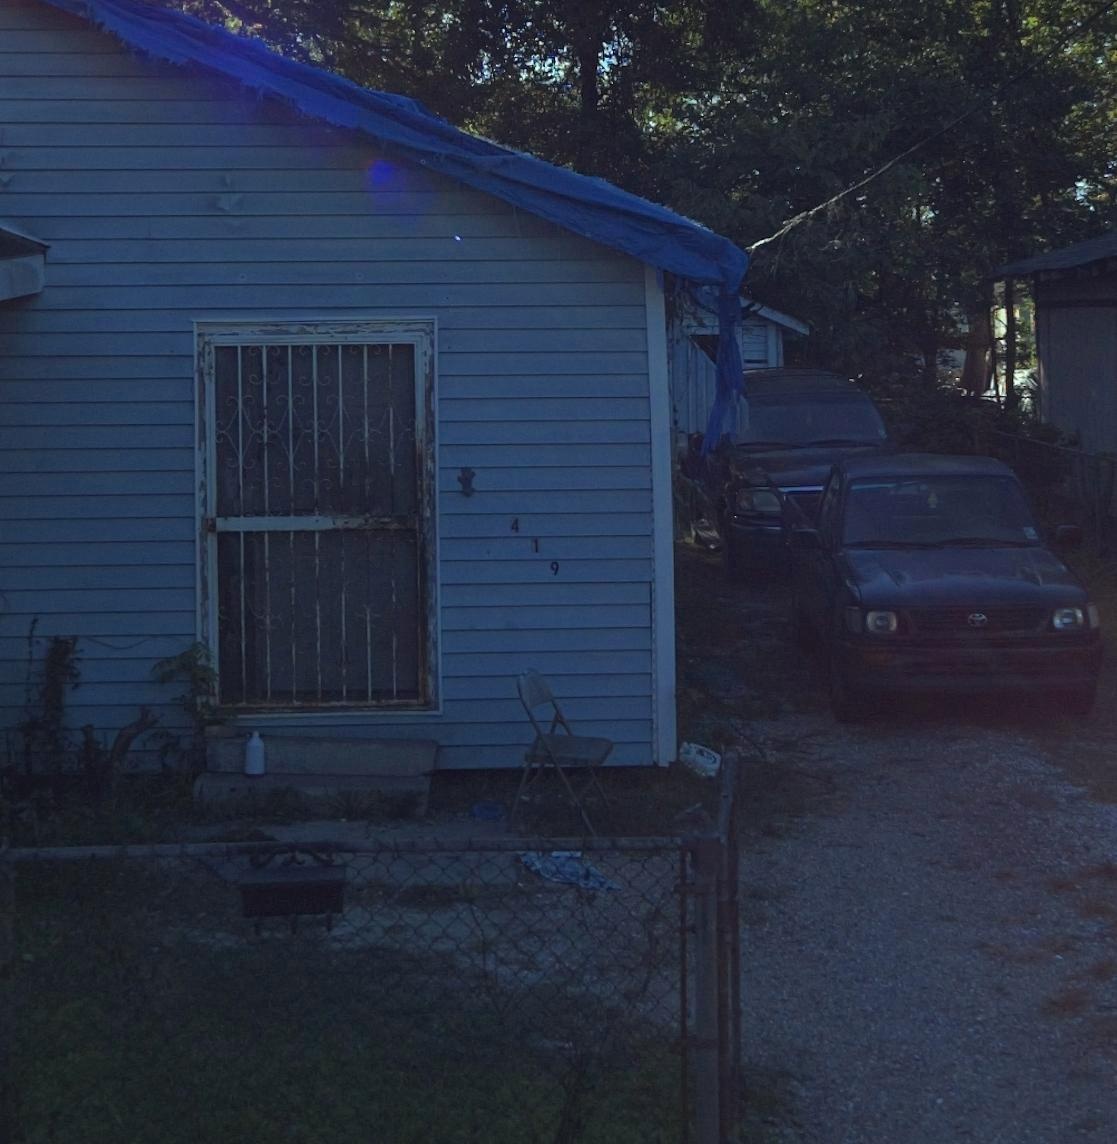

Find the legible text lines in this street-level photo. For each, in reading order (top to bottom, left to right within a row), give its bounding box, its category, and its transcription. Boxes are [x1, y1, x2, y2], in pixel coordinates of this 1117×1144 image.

[509, 515, 562, 580] StreetNumber: 419